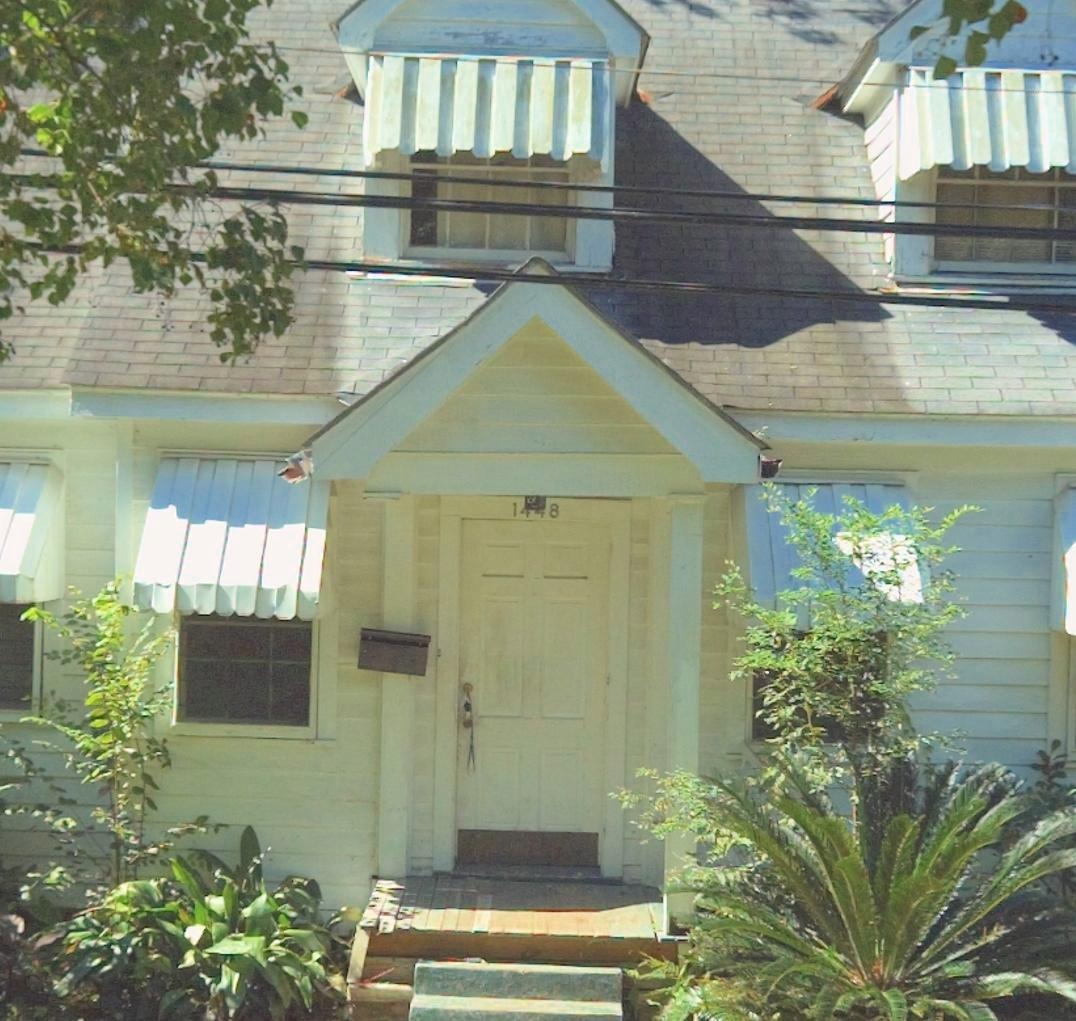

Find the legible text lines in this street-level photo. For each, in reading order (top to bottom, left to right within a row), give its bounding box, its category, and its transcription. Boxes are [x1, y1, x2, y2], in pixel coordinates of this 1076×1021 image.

[512, 501, 561, 519] StreetNumber: 1448